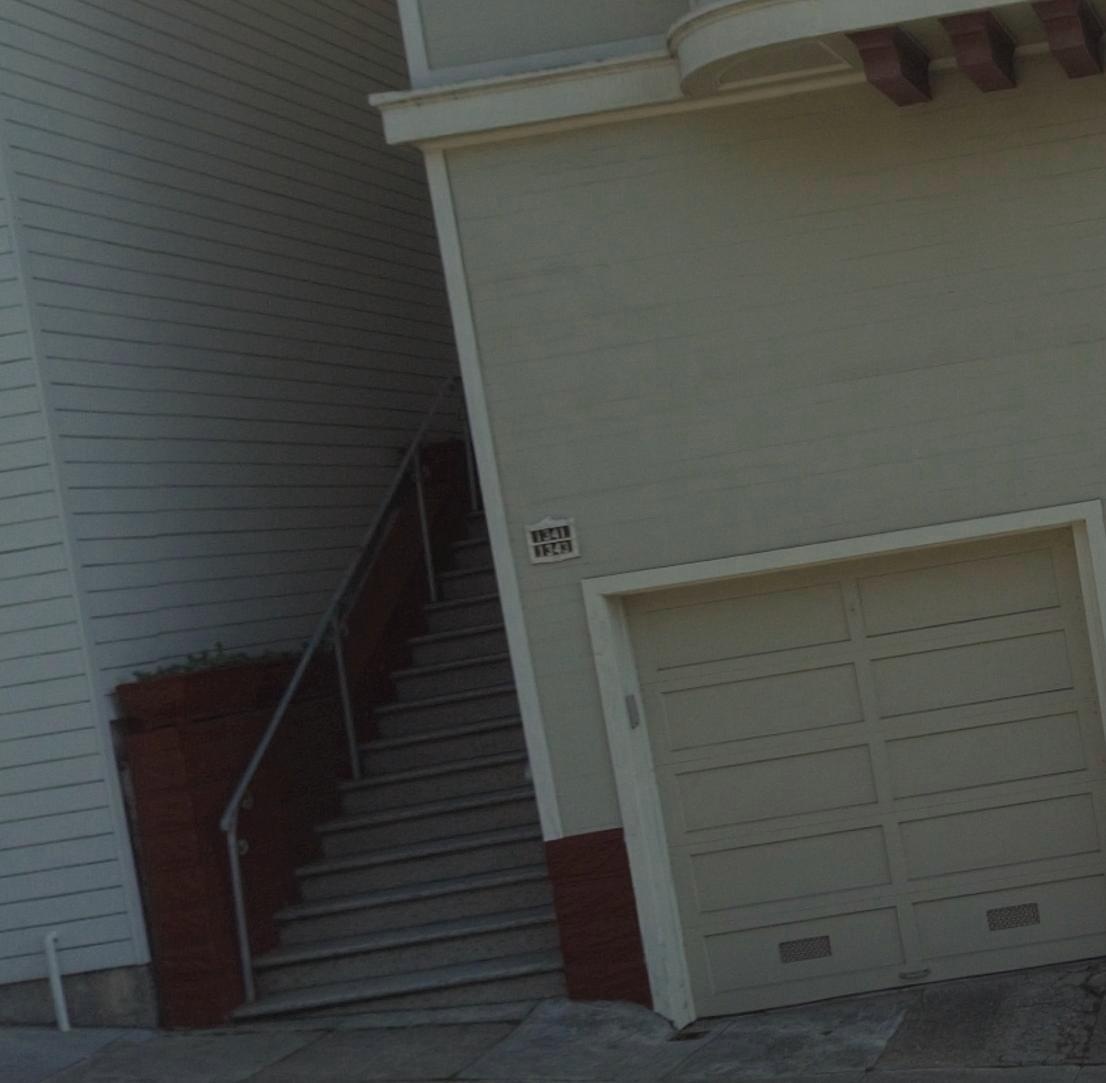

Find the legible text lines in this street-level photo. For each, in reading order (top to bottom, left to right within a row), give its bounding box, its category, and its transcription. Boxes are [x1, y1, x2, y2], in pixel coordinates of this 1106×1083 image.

[532, 524, 568, 544] StreetNumber: 1341
[536, 538, 571, 559] StreetNumber: 1343